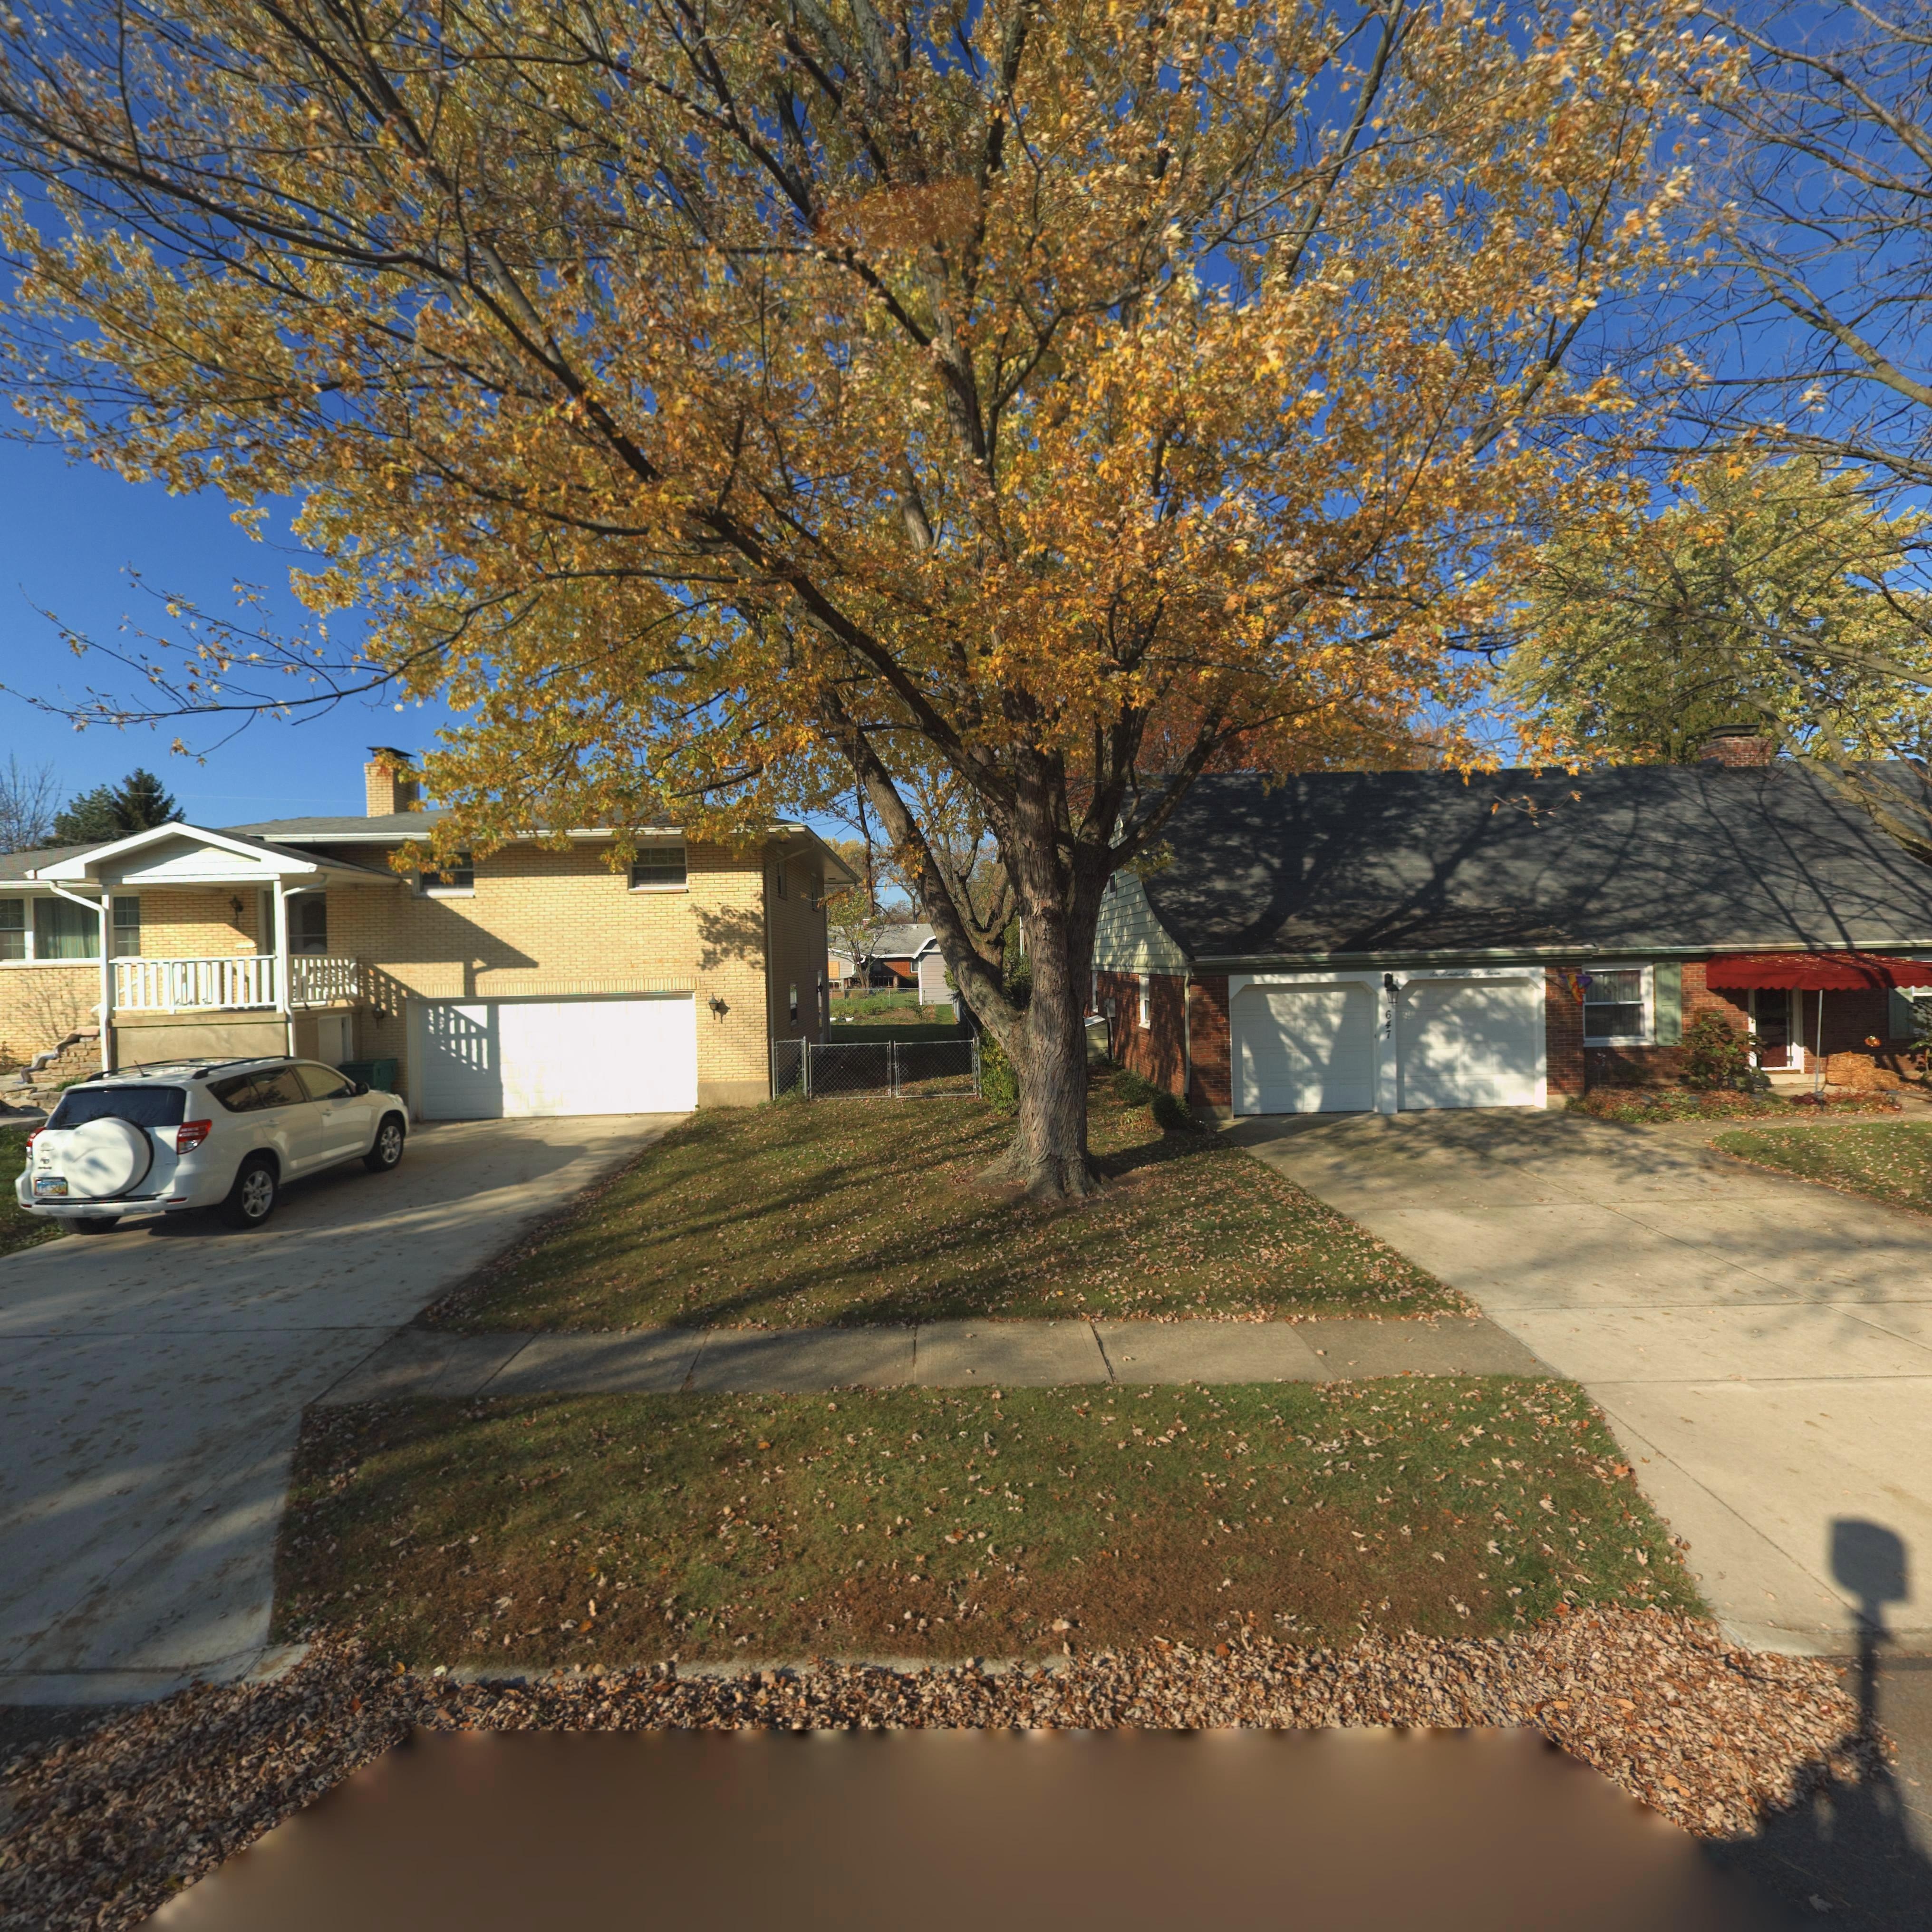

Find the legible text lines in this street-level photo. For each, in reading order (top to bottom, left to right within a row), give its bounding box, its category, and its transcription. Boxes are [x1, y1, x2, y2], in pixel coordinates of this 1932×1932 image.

[1428, 969, 1501, 977] StreetNumber: Six Hundred Forty Seven
[1385, 1010, 1392, 1039] StreetNumber: 647